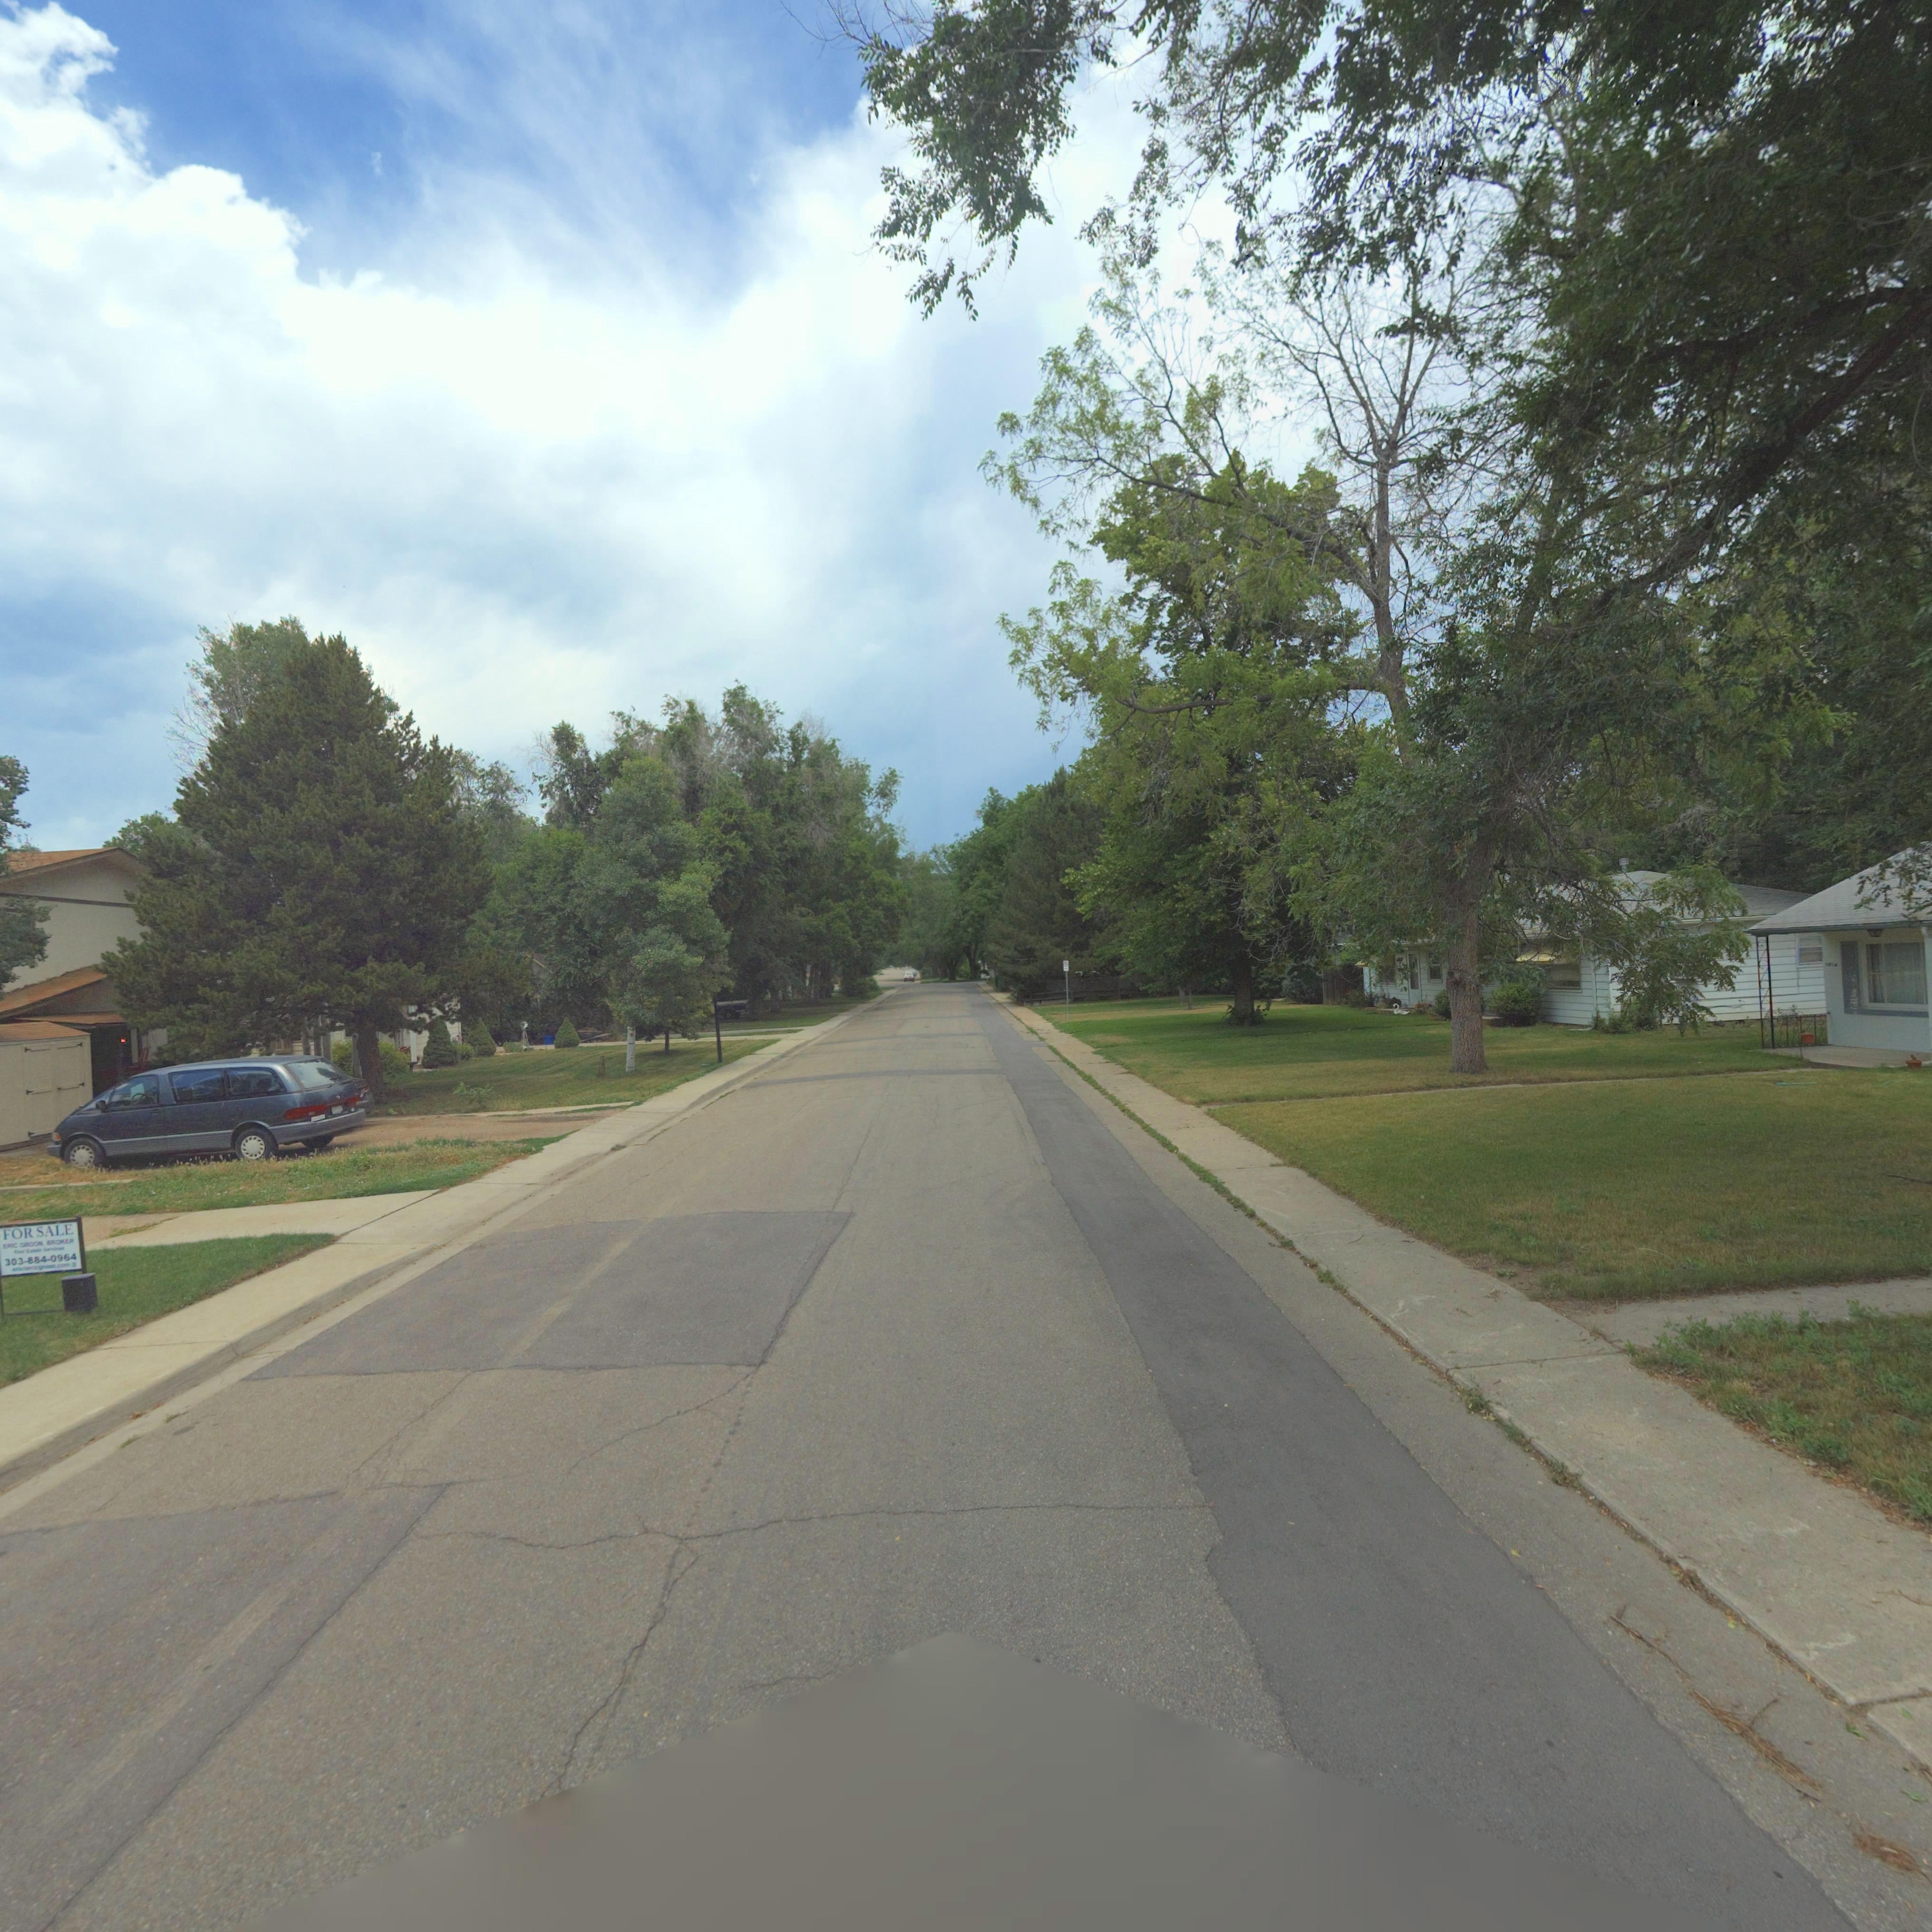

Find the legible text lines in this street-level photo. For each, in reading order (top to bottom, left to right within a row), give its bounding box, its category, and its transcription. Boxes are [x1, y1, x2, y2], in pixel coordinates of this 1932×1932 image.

[1825, 962, 1838, 967] StreetNumber: 101*